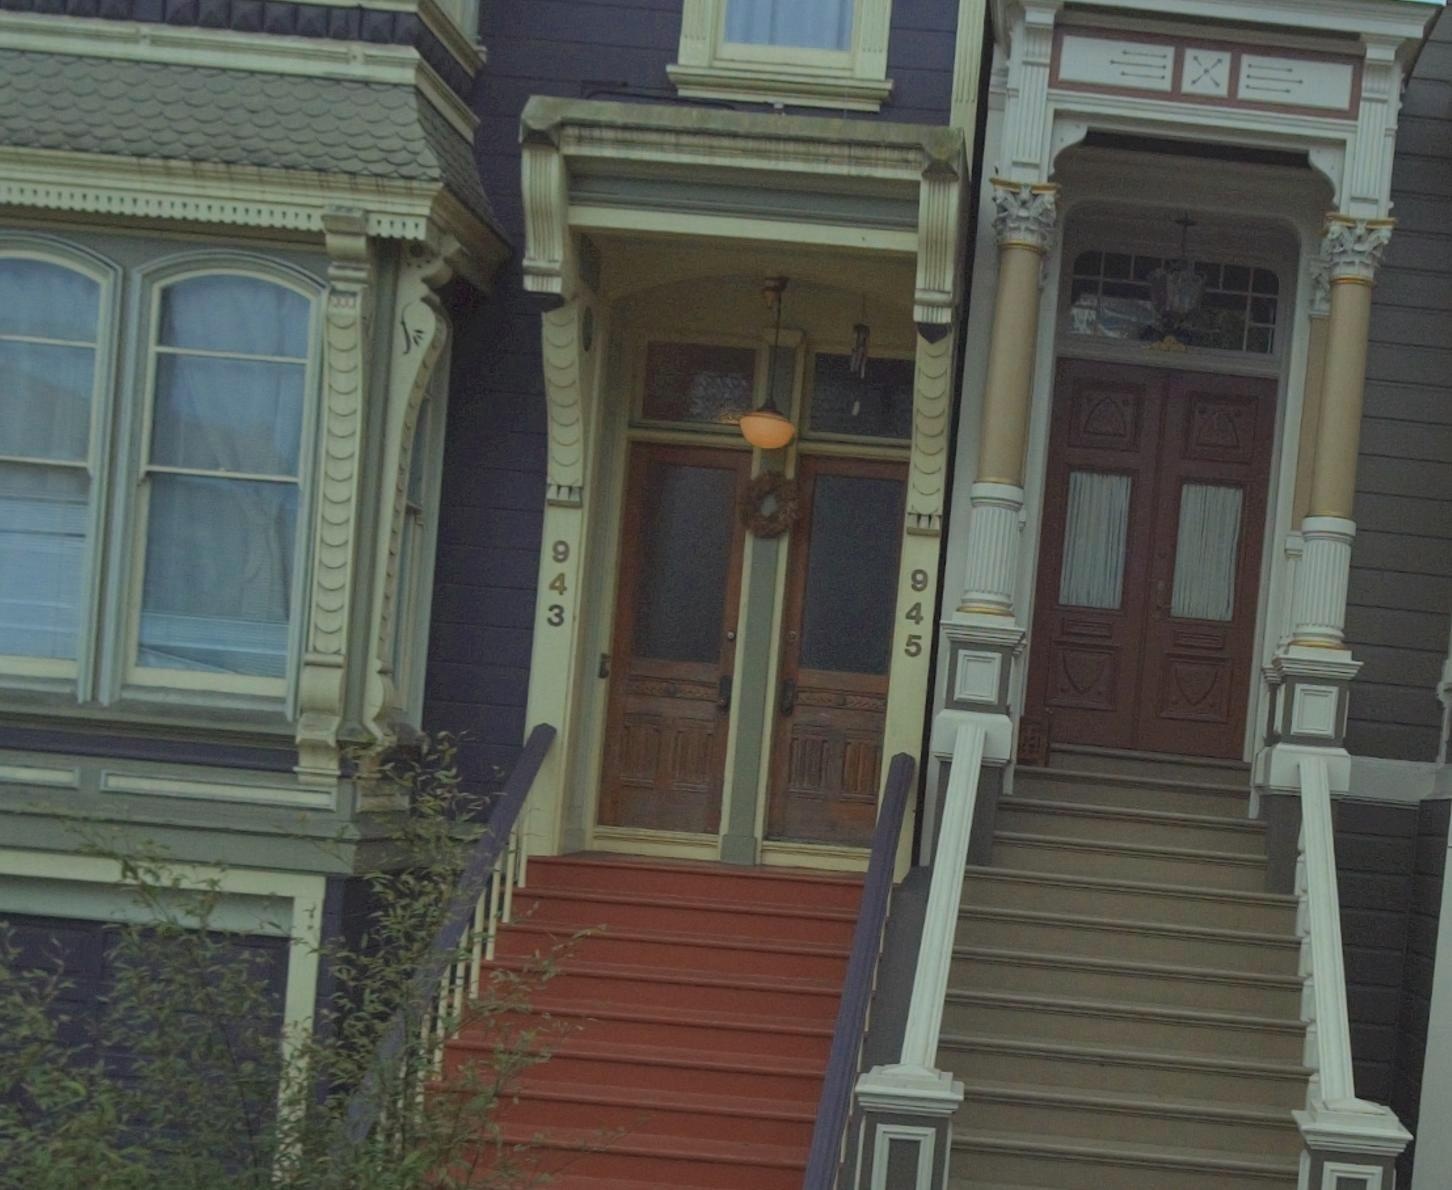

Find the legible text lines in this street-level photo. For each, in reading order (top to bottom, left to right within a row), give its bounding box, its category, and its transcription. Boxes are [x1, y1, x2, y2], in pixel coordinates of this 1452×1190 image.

[543, 535, 574, 630] StreetNumber: 943
[902, 565, 932, 661] StreetNumber: 945